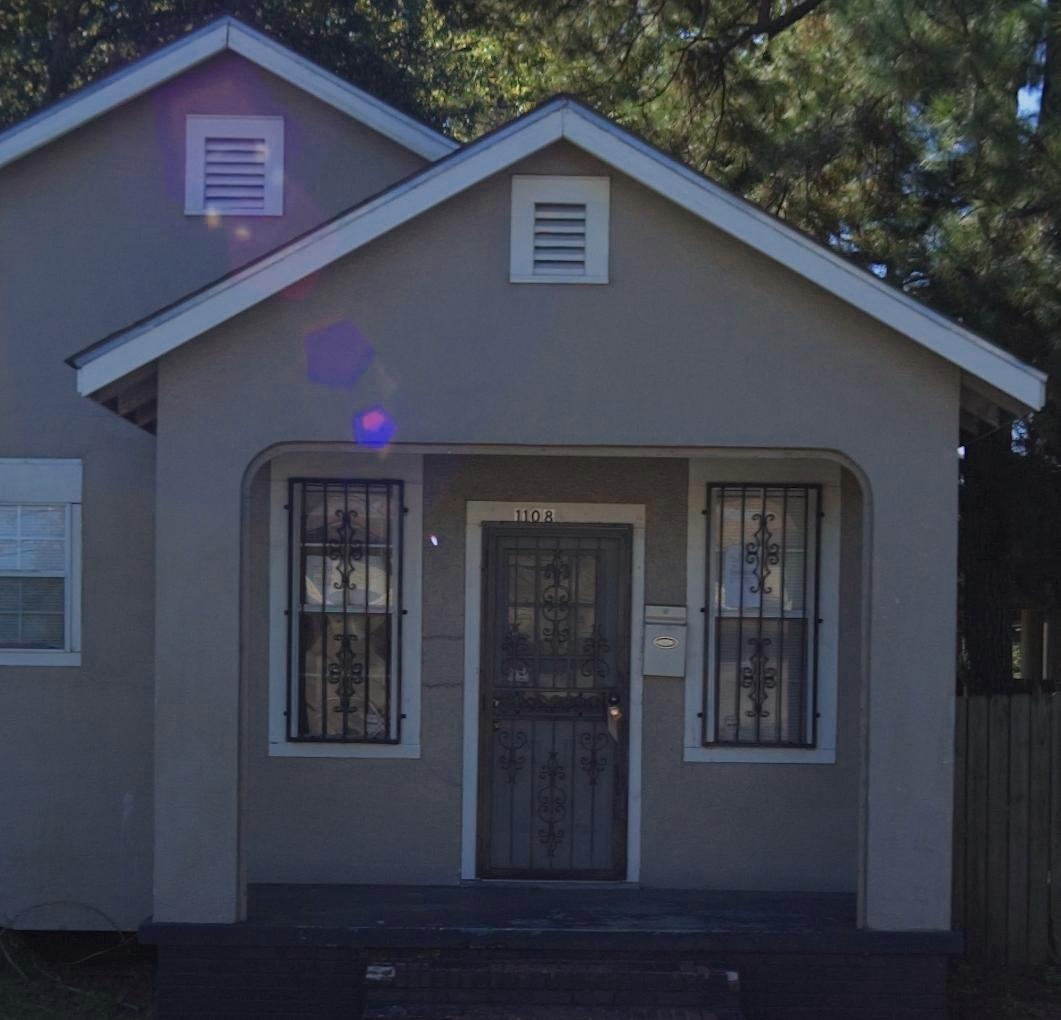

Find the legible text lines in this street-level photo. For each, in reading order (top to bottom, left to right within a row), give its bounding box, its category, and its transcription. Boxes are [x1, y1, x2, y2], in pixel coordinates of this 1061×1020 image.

[512, 506, 555, 526] StreetNumber: 1108